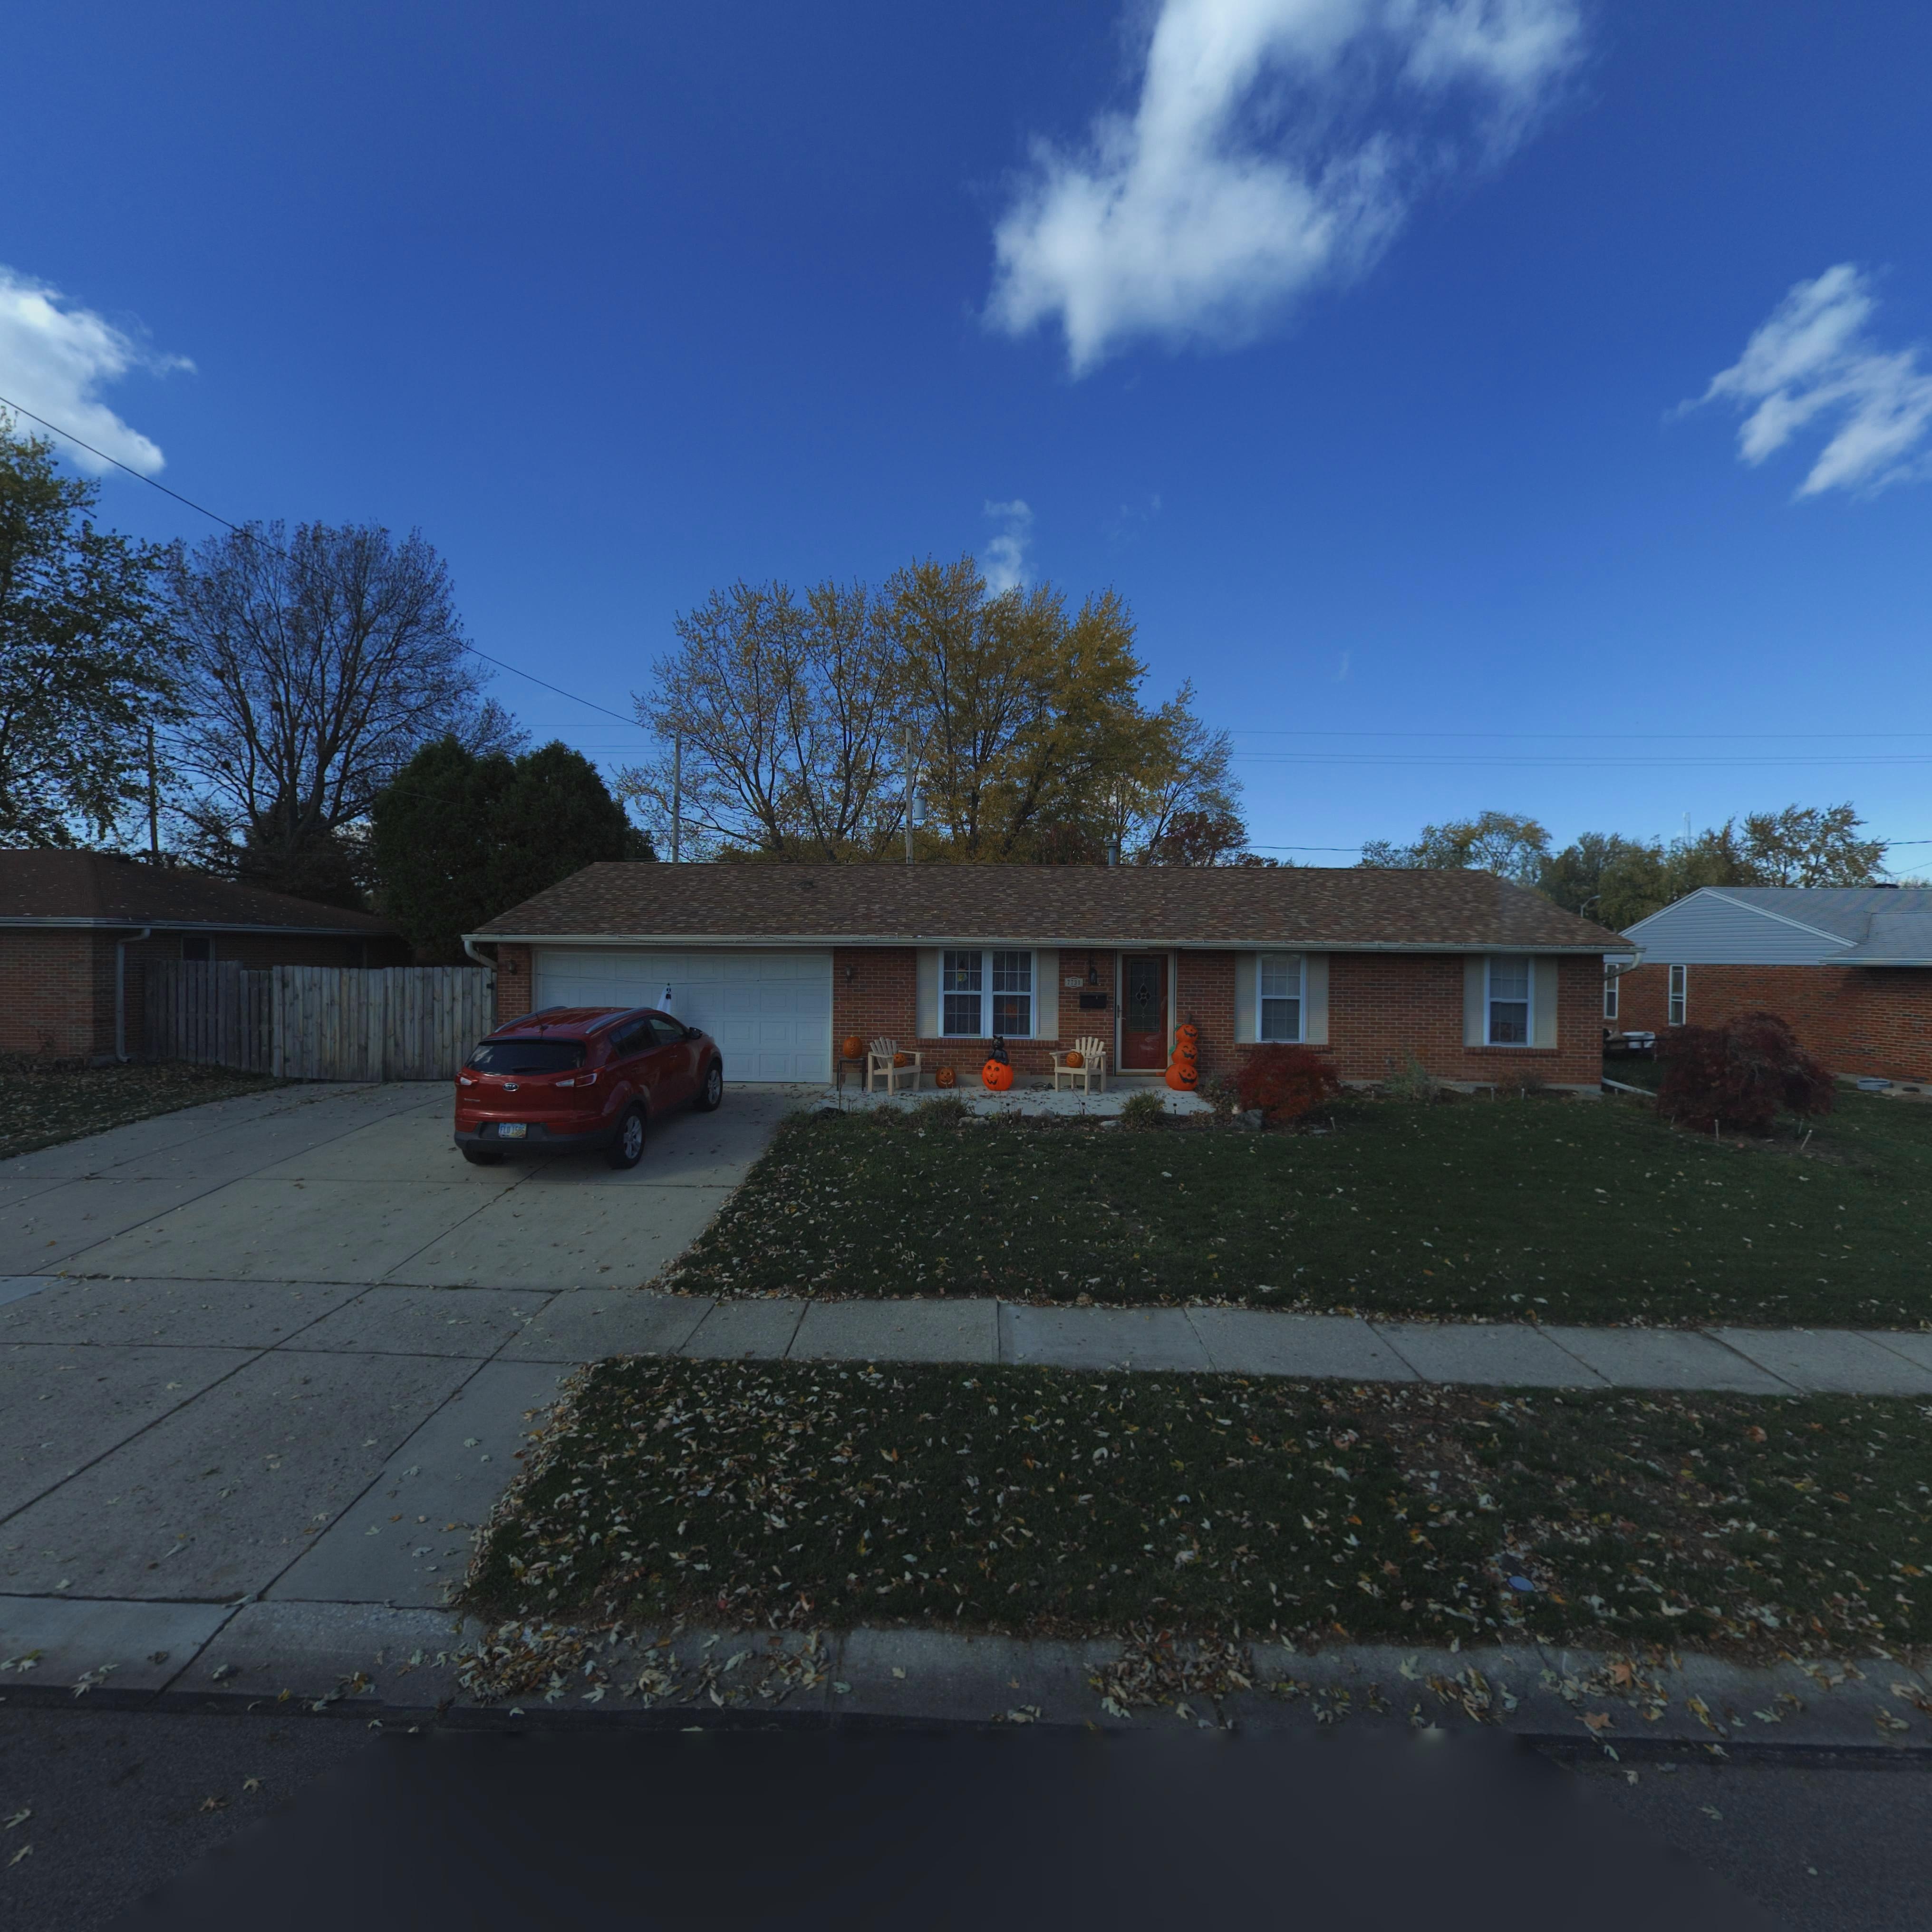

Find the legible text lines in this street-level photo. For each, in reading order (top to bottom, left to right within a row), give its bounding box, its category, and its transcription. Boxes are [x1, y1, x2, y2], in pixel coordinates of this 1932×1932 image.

[1066, 979, 1081, 986] StreetNumber: 7731